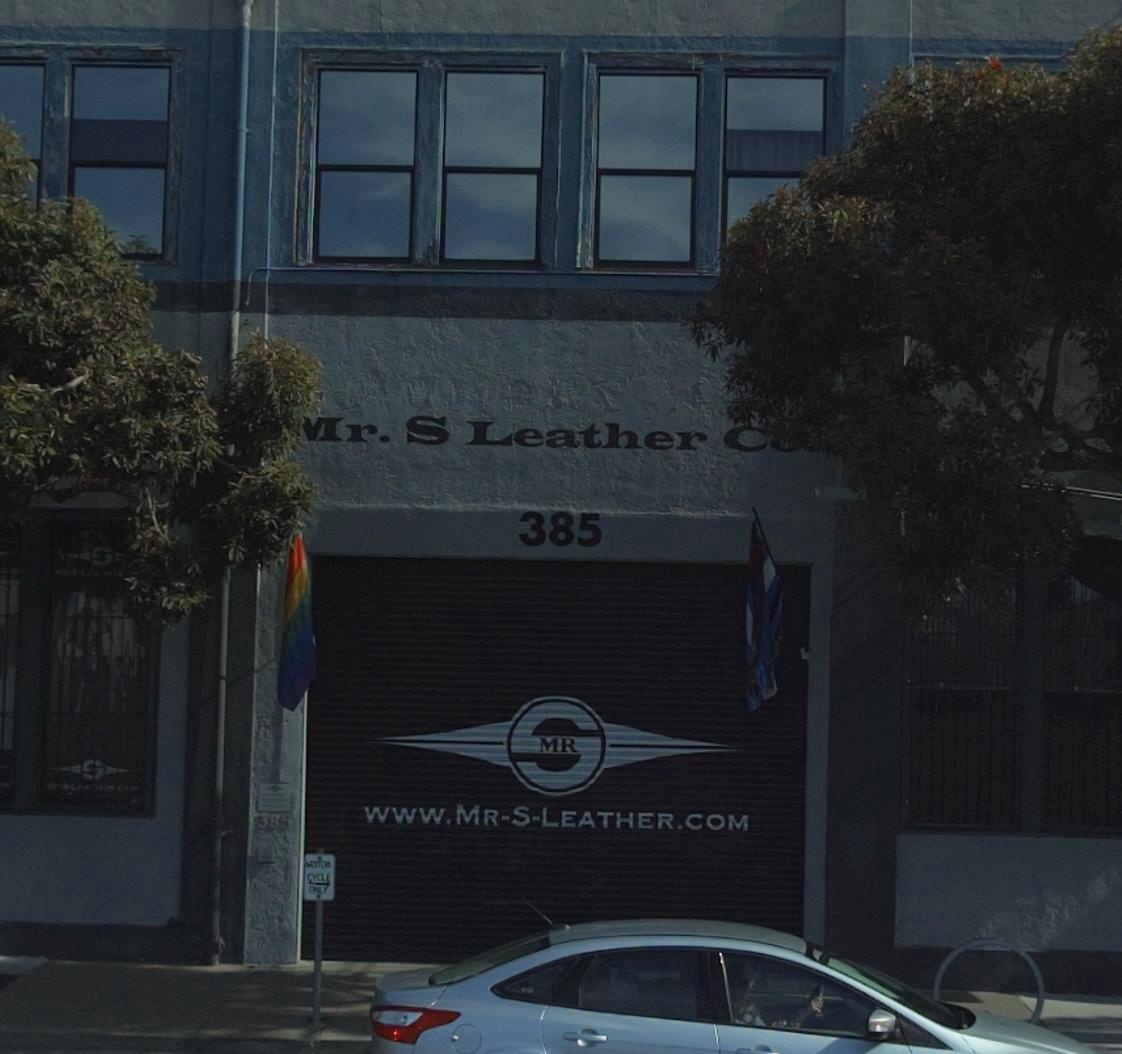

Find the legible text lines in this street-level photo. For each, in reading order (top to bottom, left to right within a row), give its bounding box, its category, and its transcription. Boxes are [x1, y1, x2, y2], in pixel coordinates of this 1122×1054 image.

[339, 404, 778, 459] BusinessName: r. S Leather C
[515, 507, 609, 551] StreetNumber: 385
[536, 734, 579, 755] None: MR
[255, 810, 294, 831] None: 385
[360, 801, 751, 835] None: www.MR-S-LEATHER.COM
[303, 859, 328, 871] None: MOTO
[305, 870, 333, 884] None: CYCLE
[307, 884, 332, 897] None: ONLY